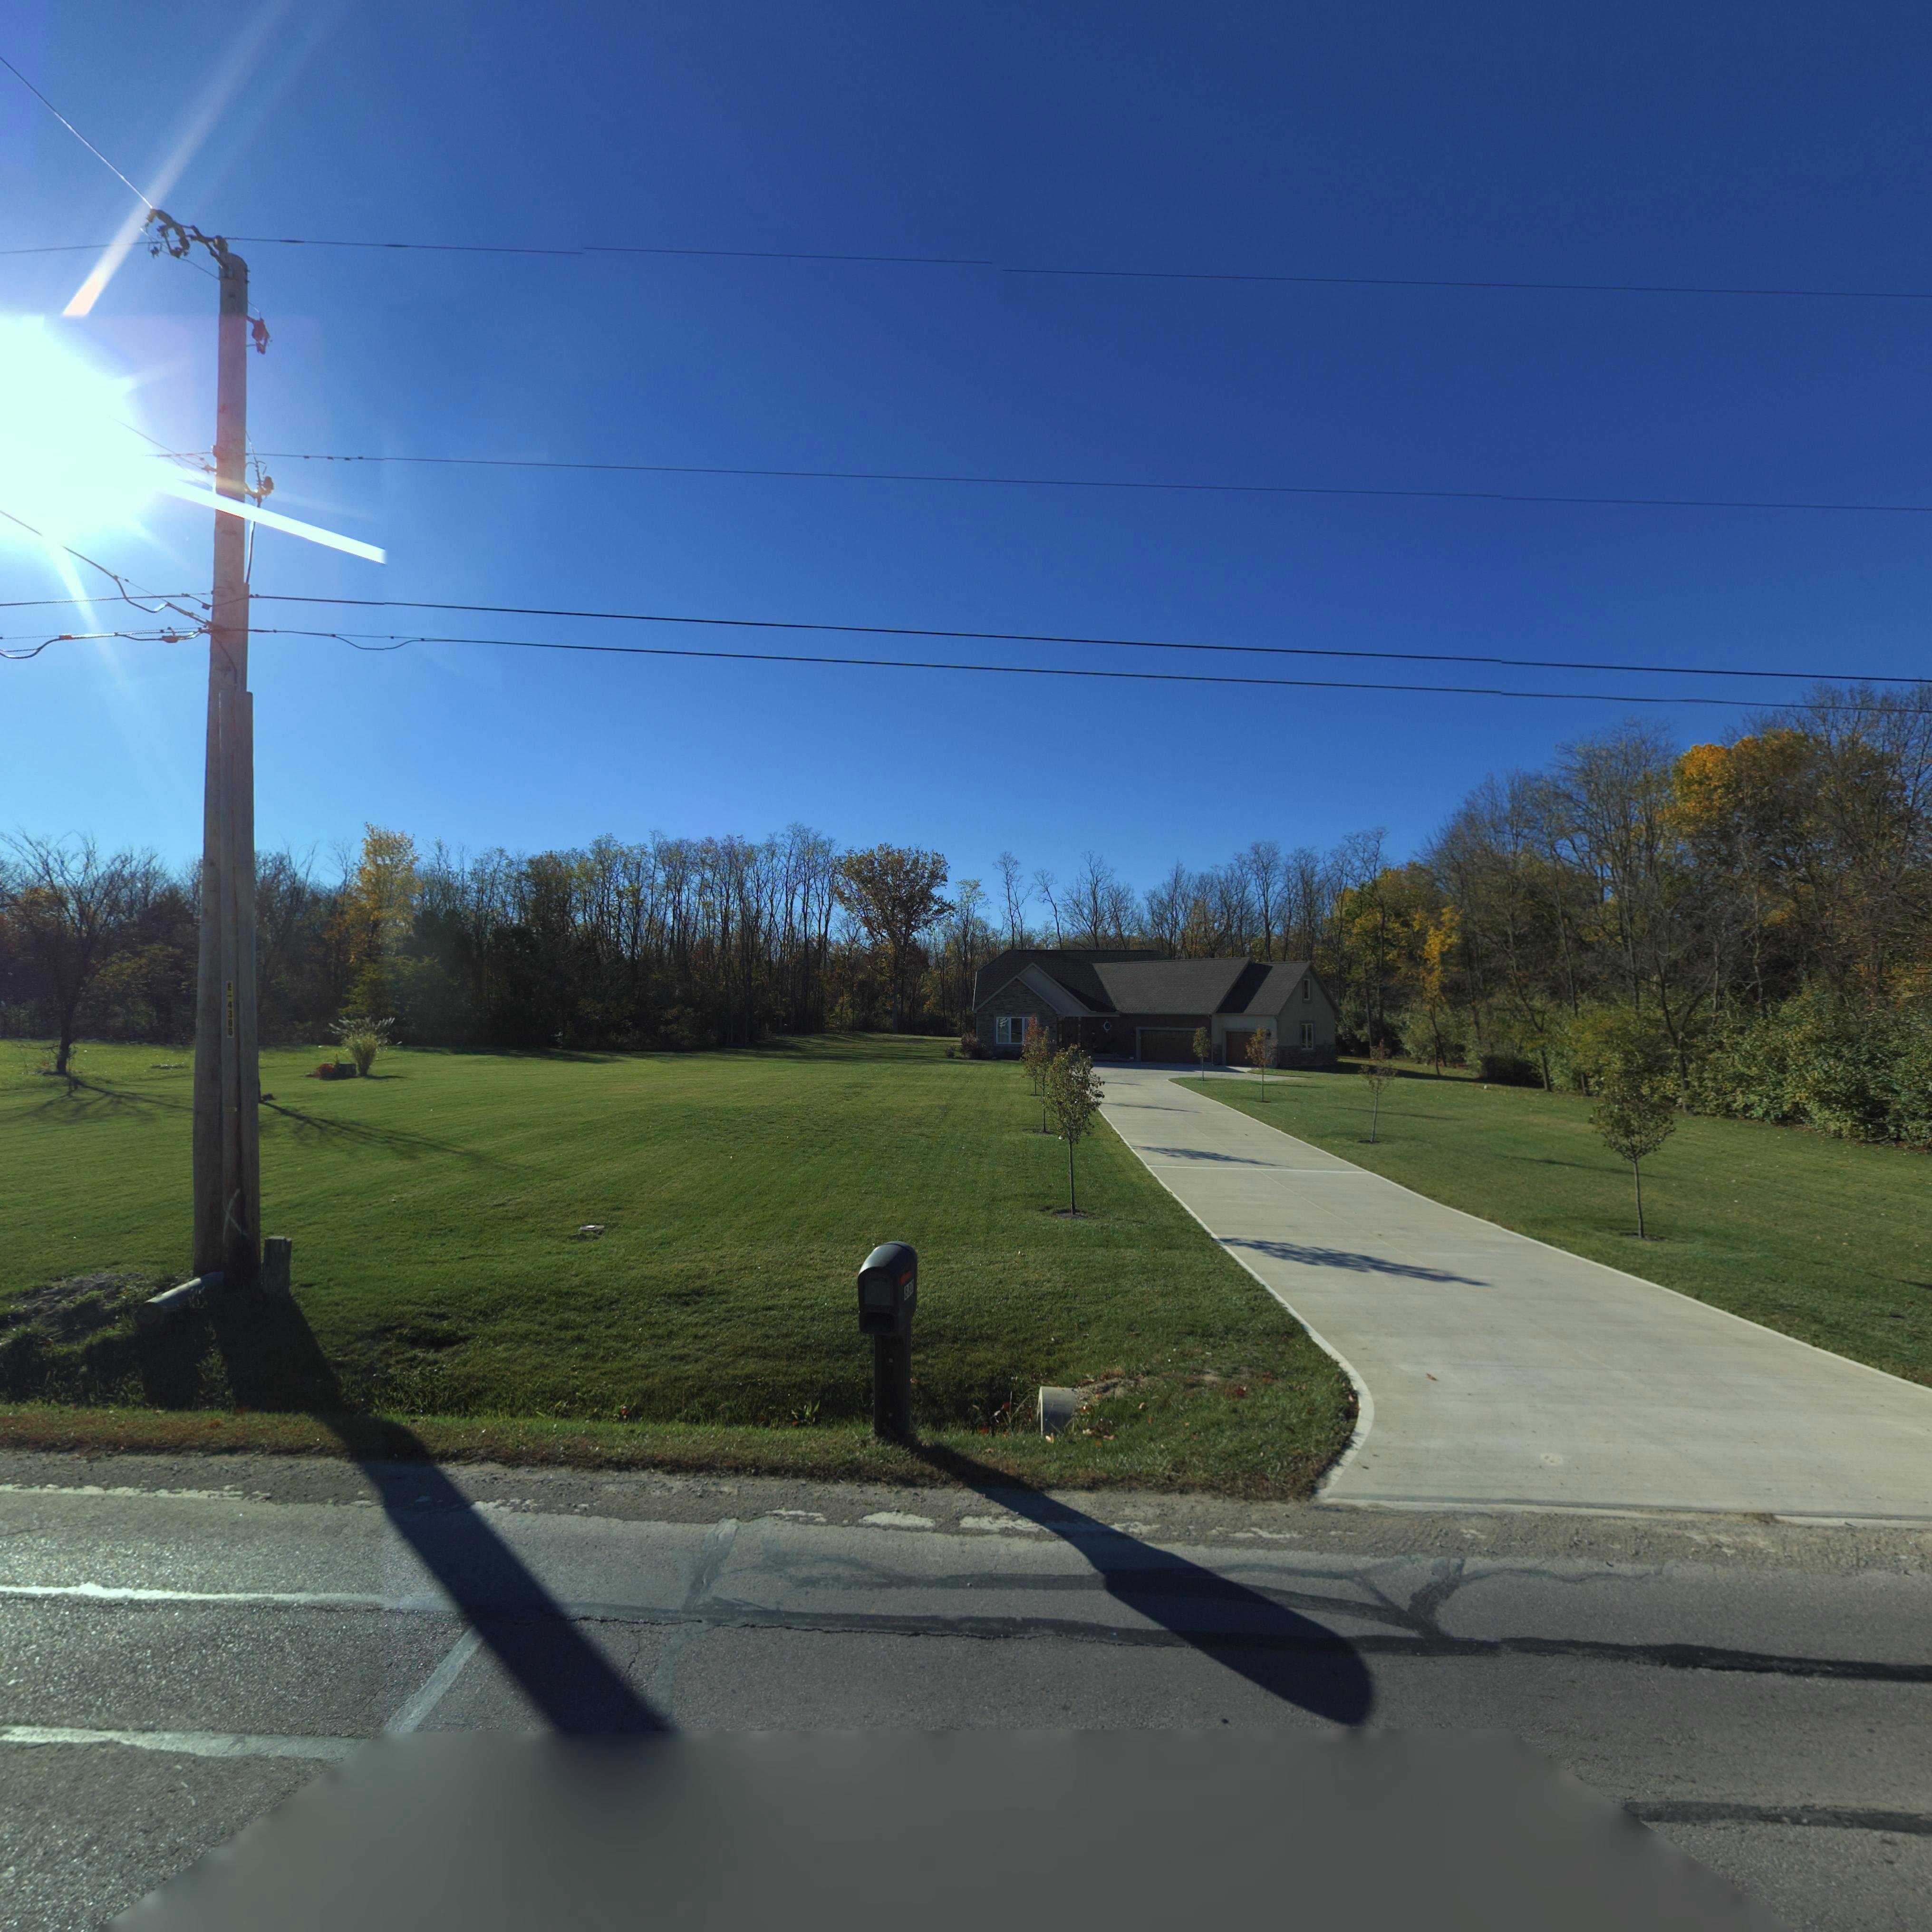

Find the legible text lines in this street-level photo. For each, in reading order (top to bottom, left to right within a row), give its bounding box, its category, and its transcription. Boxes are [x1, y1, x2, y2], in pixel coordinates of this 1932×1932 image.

[226, 982, 233, 1037] None: E * 4386
[904, 1279, 914, 1302] StreetNumber: 880